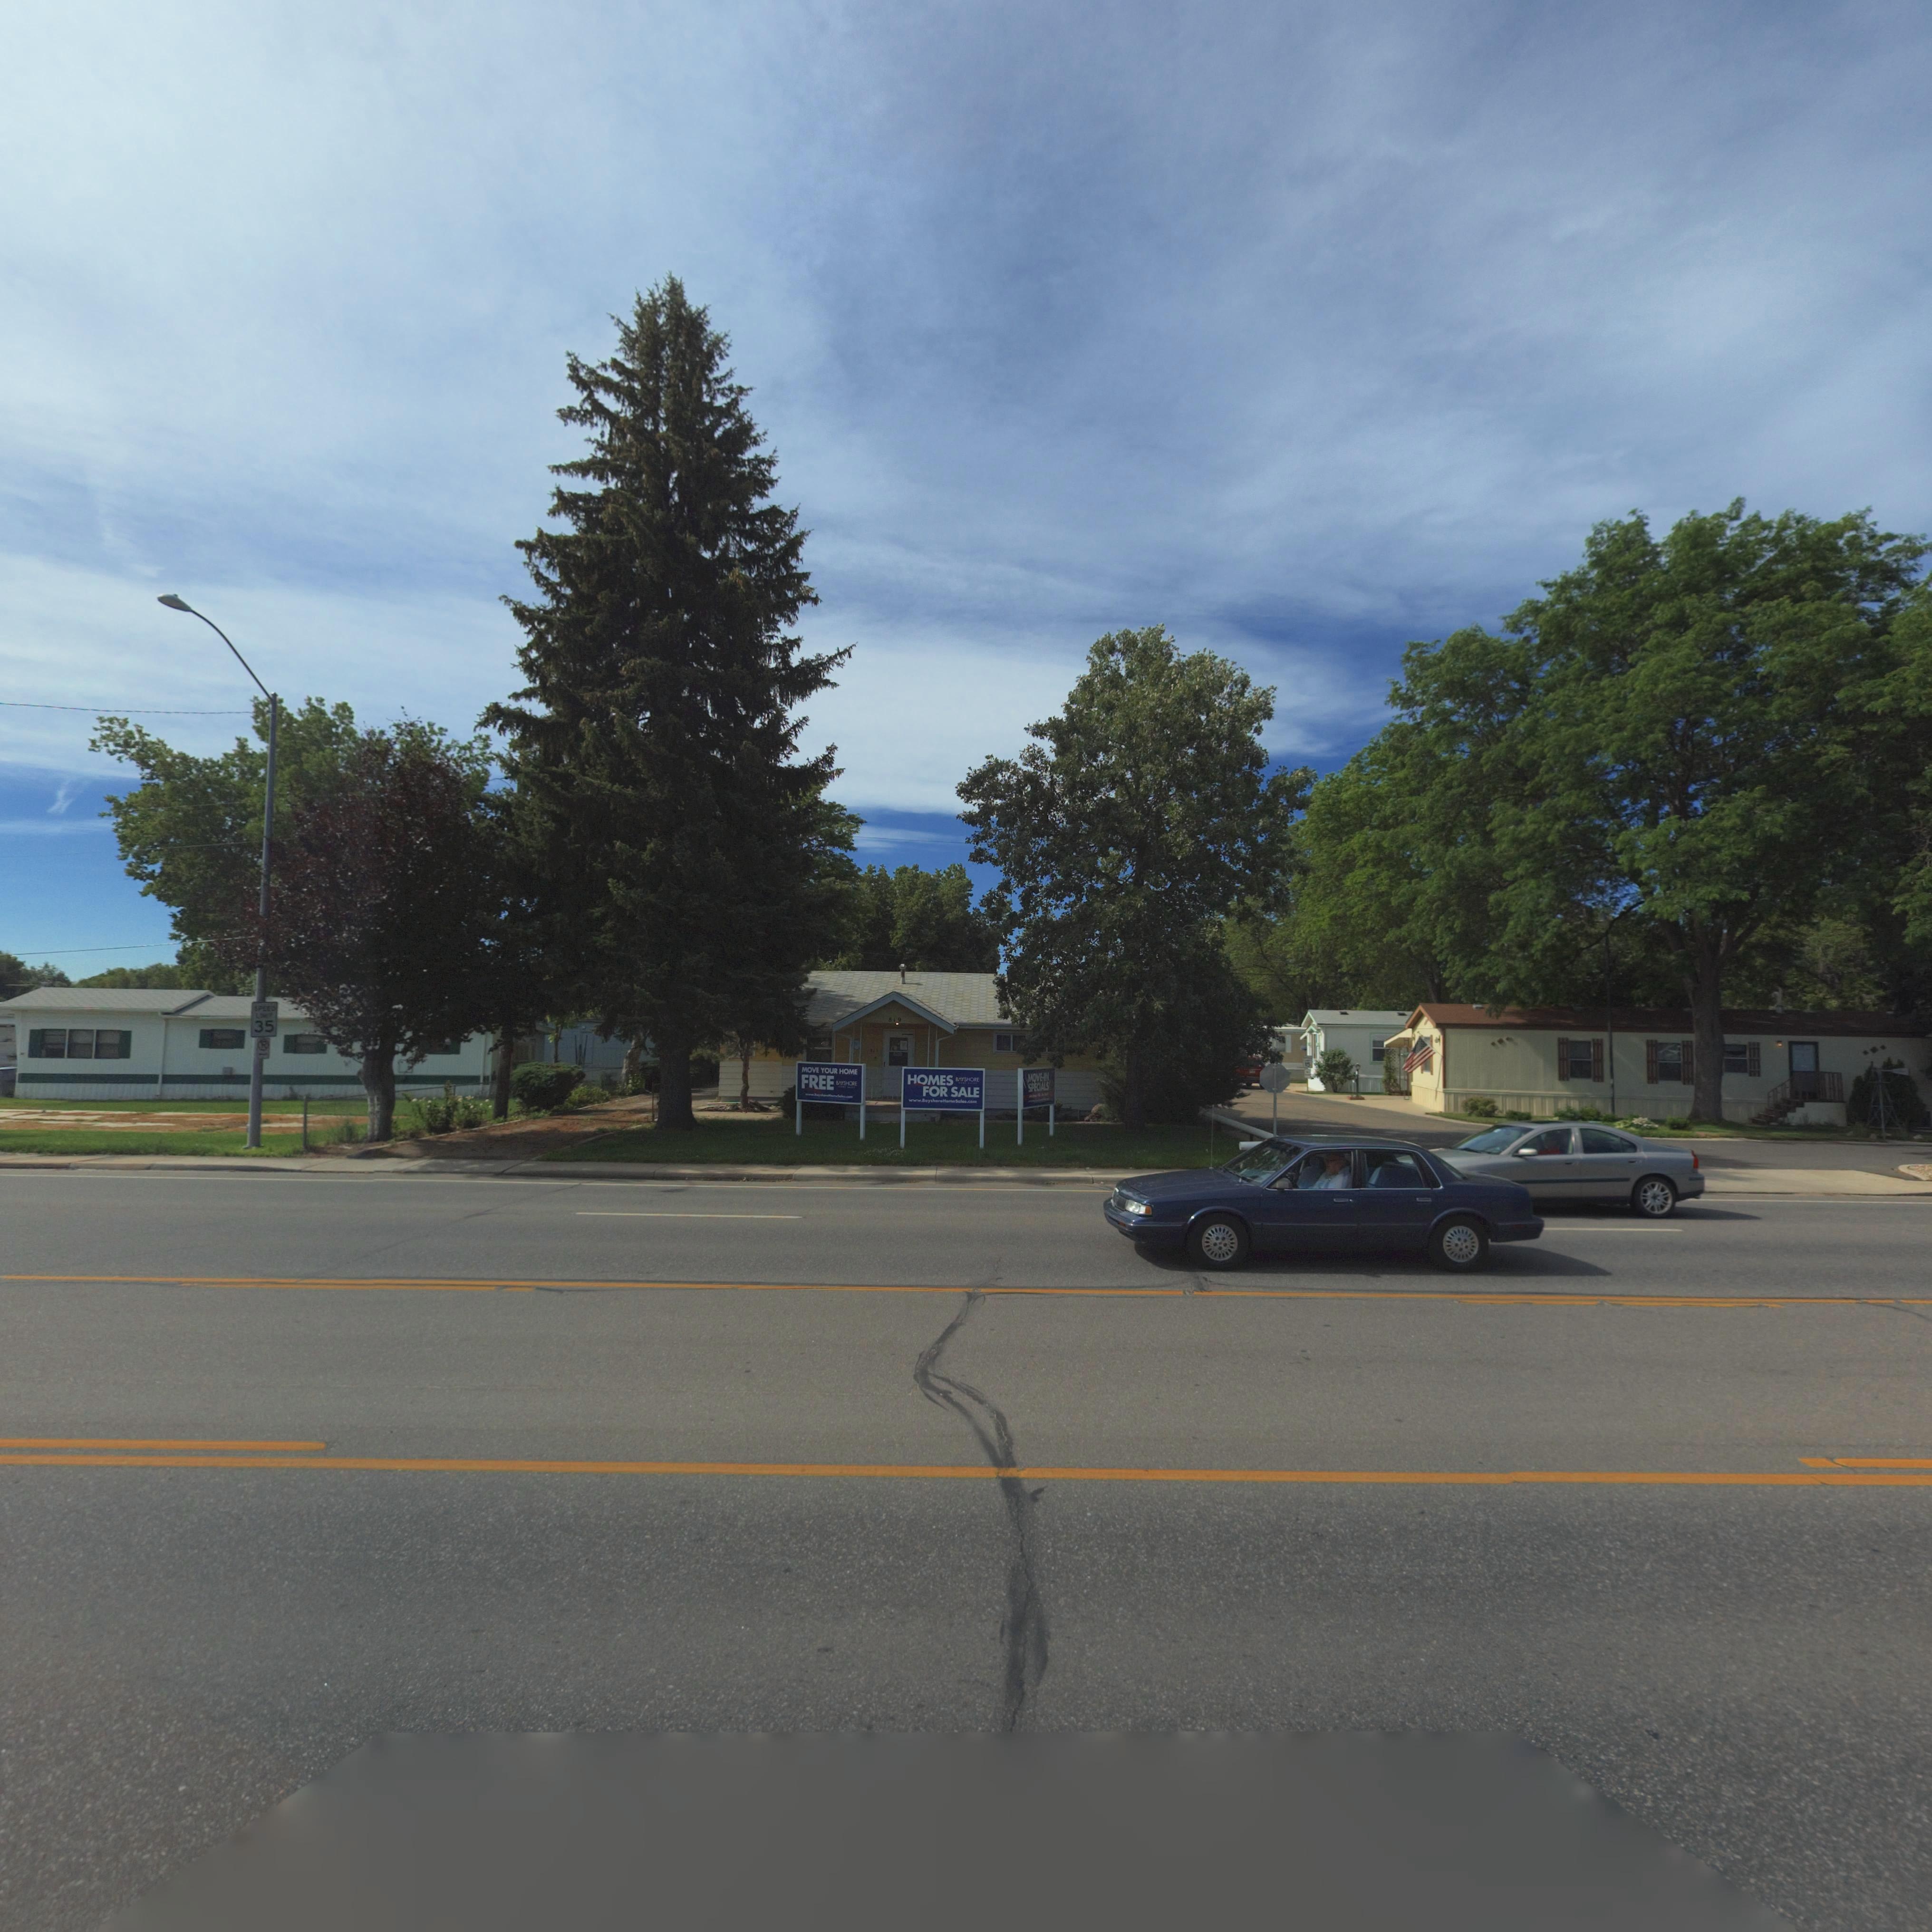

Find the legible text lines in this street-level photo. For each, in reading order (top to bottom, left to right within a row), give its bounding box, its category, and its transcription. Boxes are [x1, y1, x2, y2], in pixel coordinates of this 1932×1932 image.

[888, 1016, 901, 1023] StreetNumber: 819
[869, 1048, 879, 1053] StreetNumber: *1*